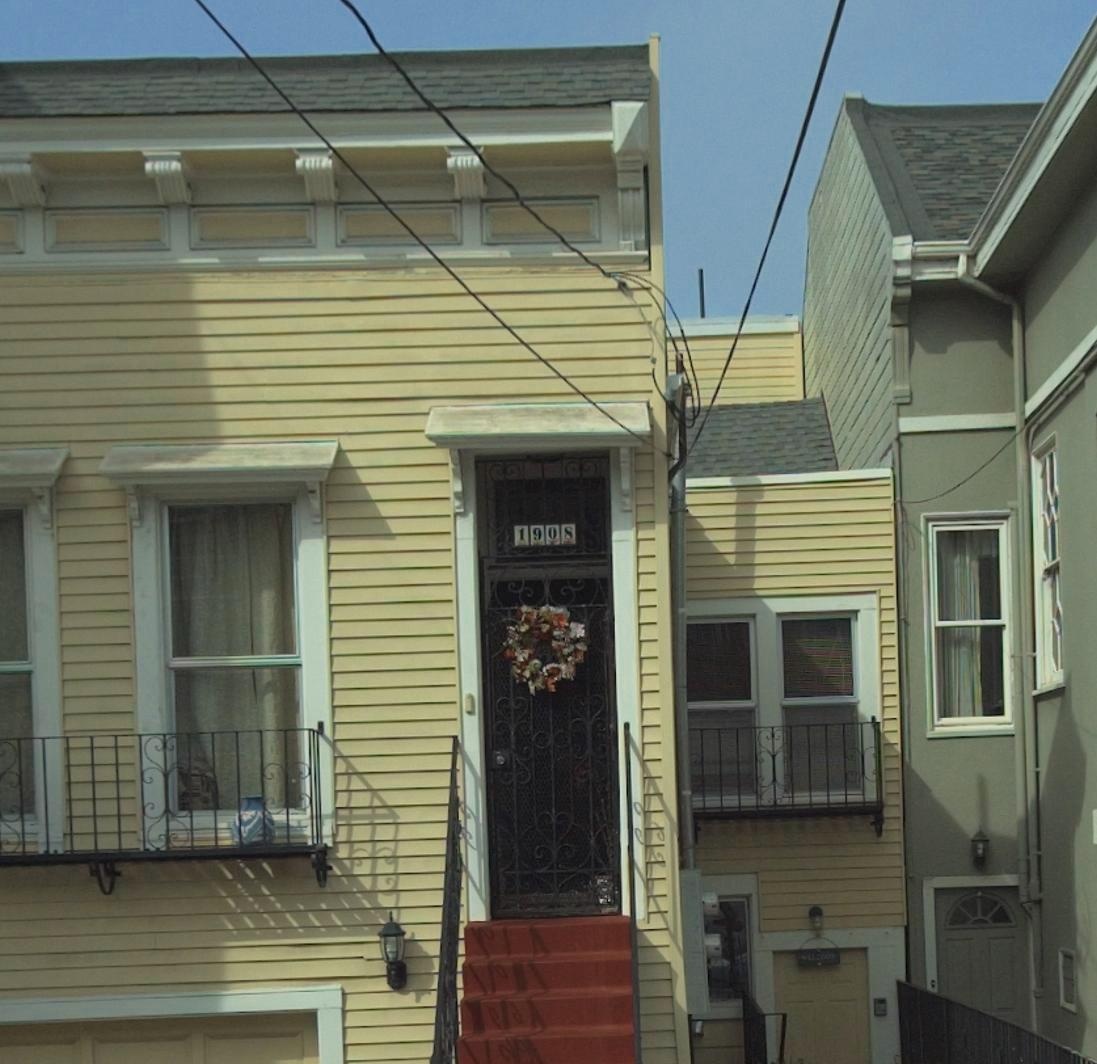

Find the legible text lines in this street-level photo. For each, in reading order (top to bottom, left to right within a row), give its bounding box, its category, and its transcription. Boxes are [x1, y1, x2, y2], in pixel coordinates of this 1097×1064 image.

[515, 523, 576, 543] StreetNumber: 1908